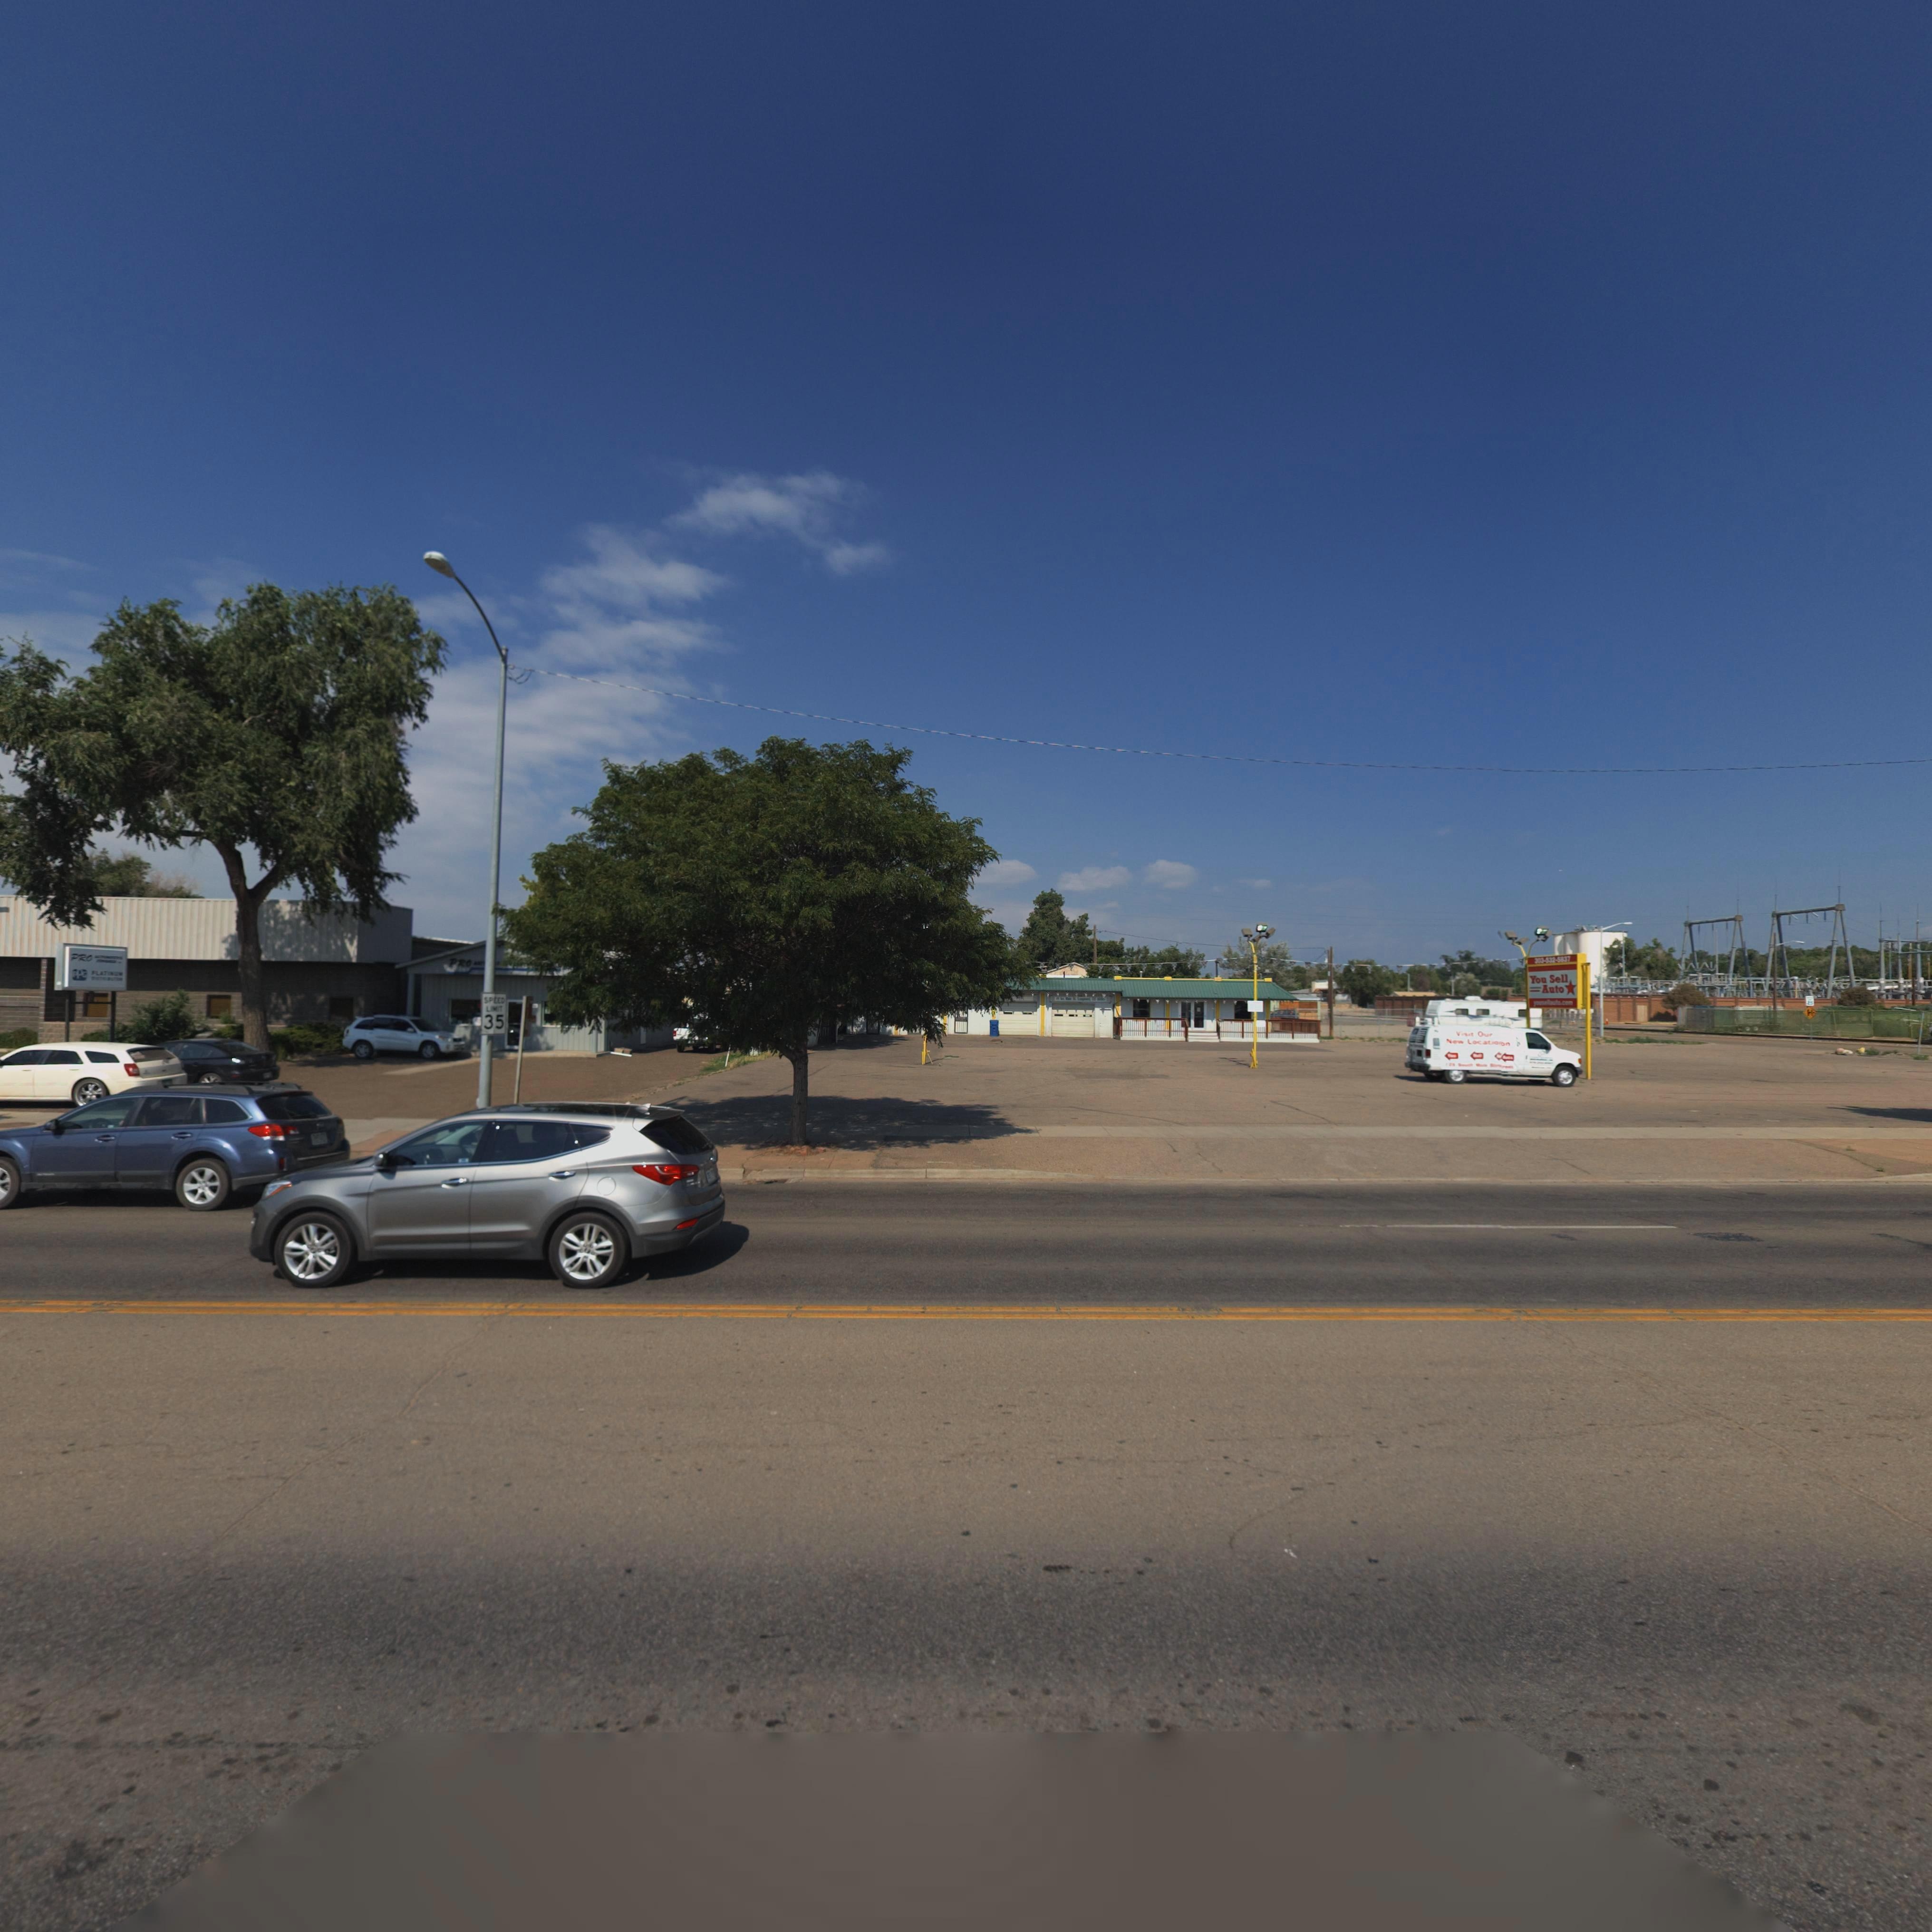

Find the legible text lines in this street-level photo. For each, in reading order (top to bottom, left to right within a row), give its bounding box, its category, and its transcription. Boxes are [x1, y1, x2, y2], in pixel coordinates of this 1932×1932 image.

[69, 953, 93, 962] BusinessName: PRO
[448, 957, 473, 967] BusinessName: PRO
[1528, 974, 1568, 984] BusinessName: You Sell
[1542, 984, 1564, 993] BusinessName: Auto
[1056, 997, 1059, 1000] StreetNumber: *9
[1060, 996, 1076, 1000] StreetName: S** M*** St.